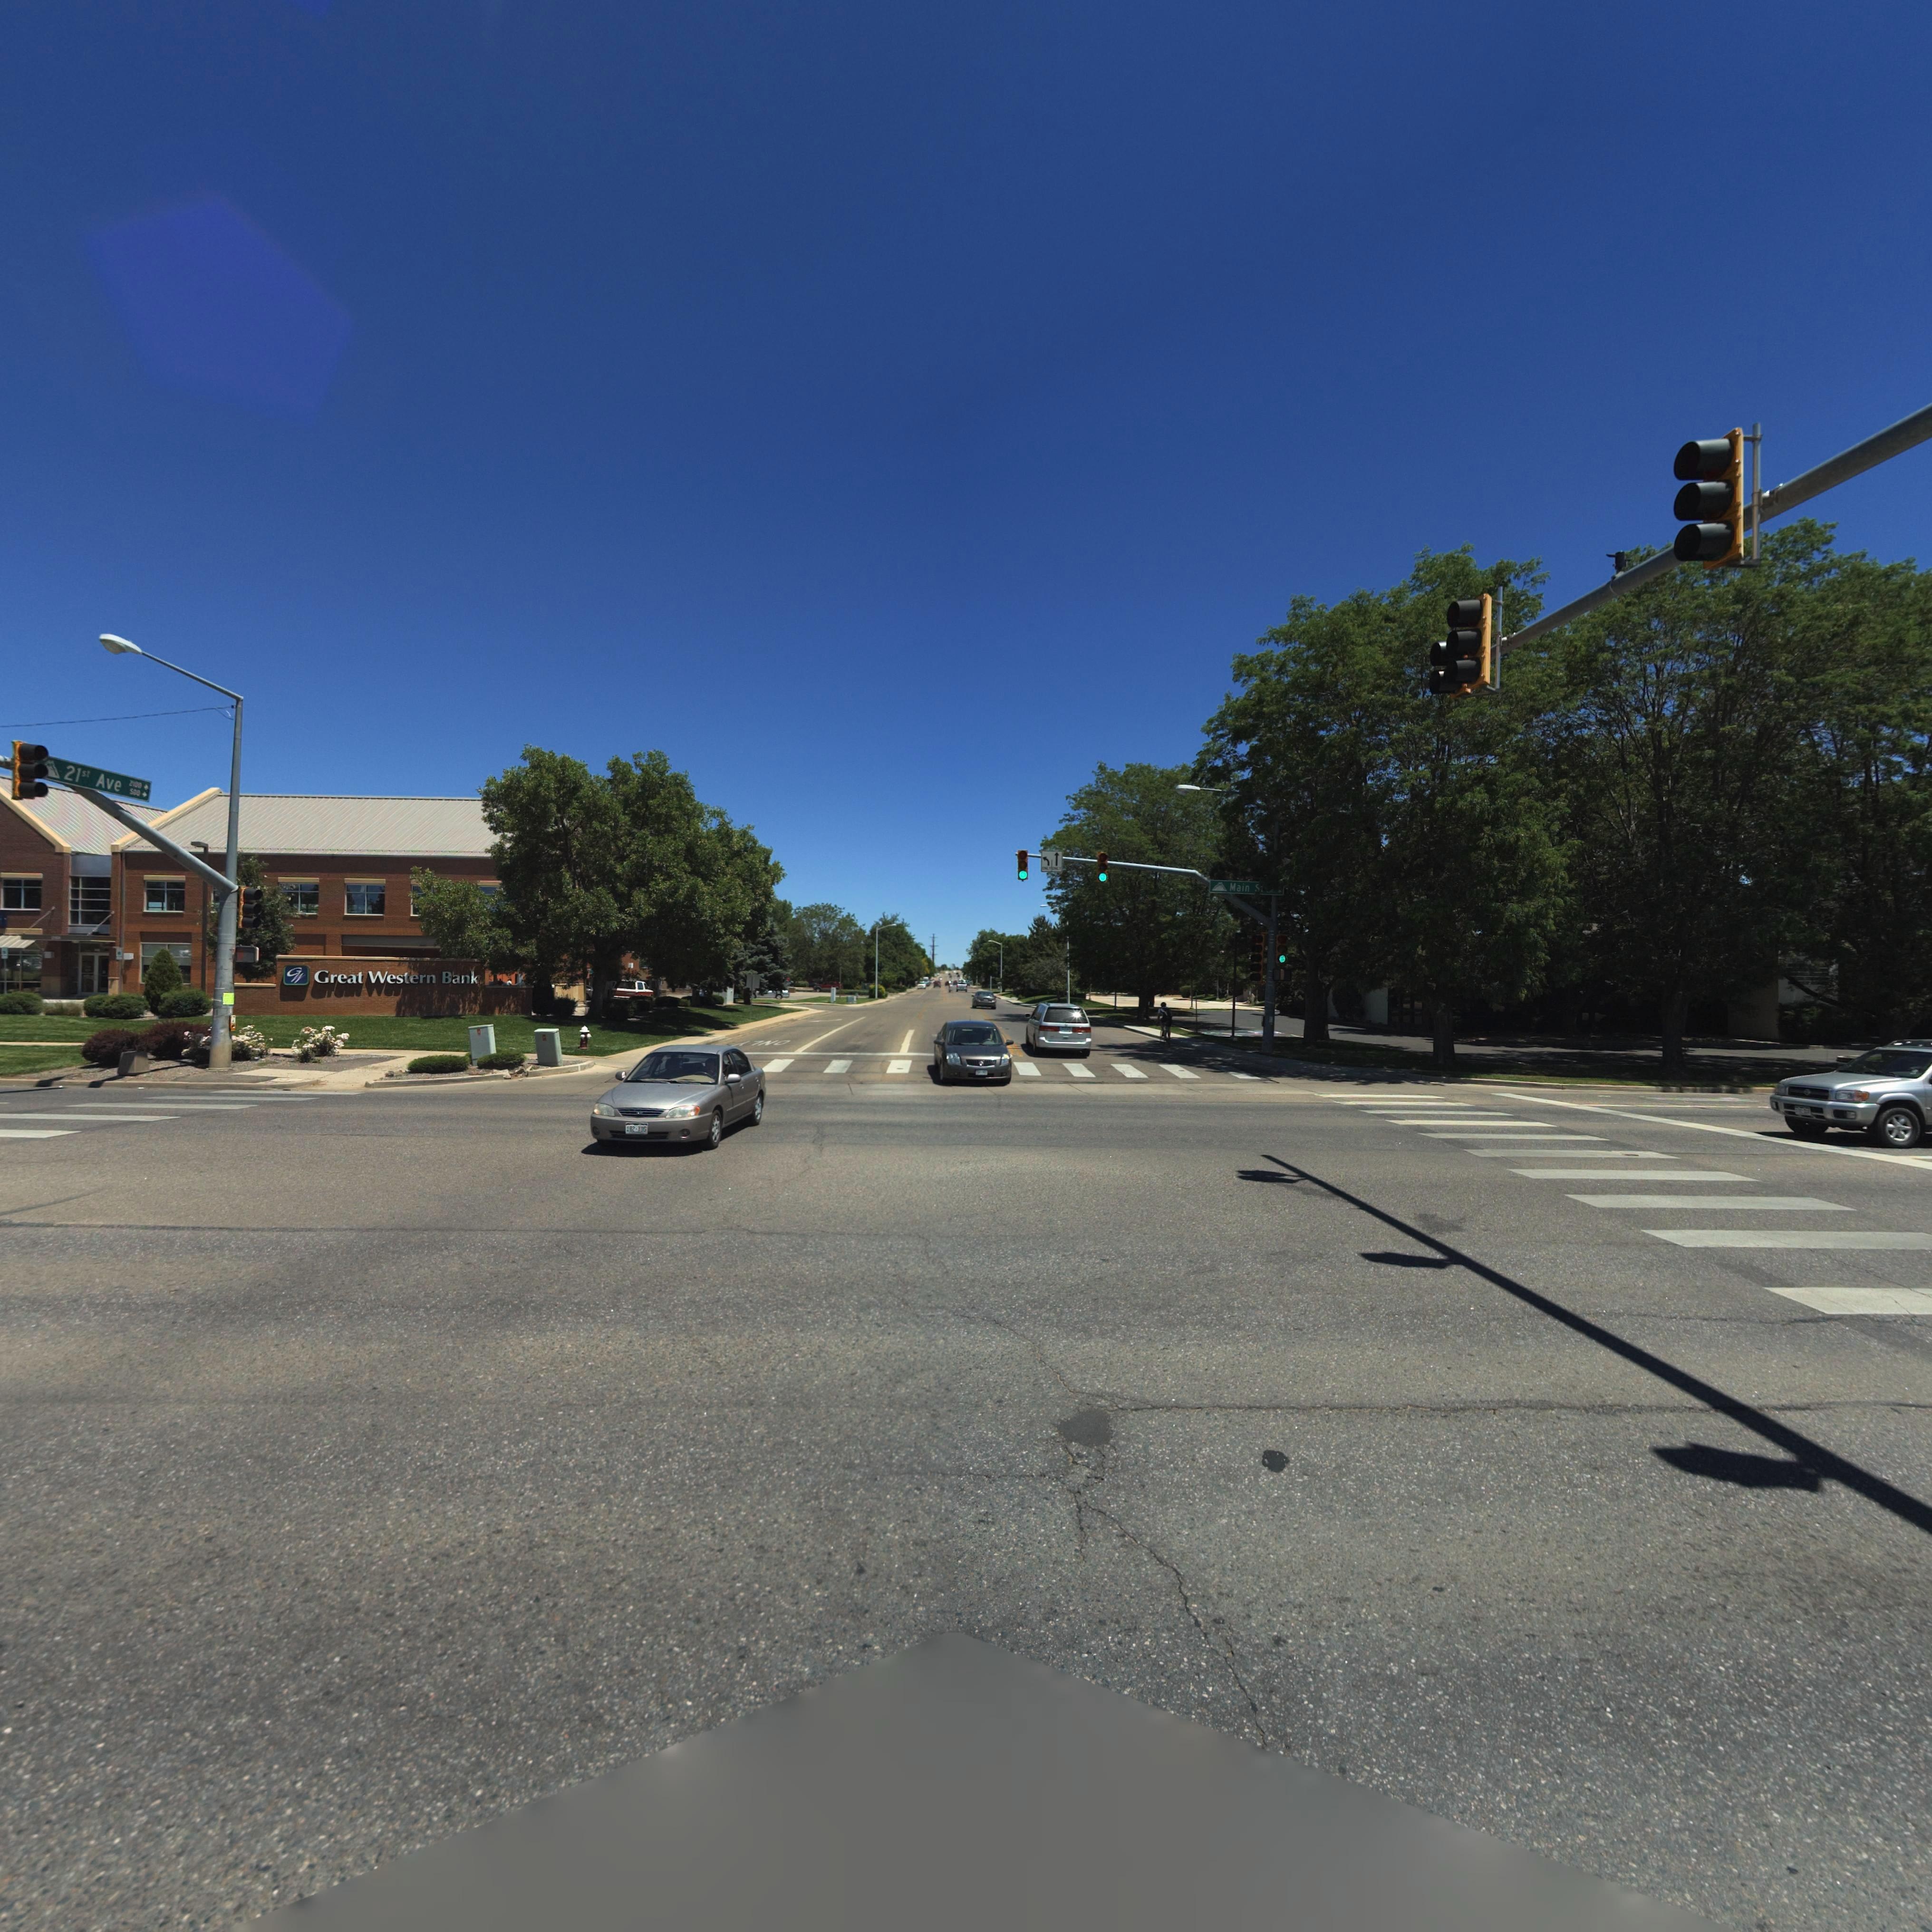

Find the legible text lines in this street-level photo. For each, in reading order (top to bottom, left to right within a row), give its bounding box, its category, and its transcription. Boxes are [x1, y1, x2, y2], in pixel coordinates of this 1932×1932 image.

[62, 764, 122, 792] StreetName: 21st Ave
[128, 779, 143, 789] StreetNumberRange: 2*00
[129, 787, 147, 797] StreetNumberRange: 500->
[1229, 881, 1264, 893] StreetName: Main S*
[313, 969, 479, 985] BusinessName: Great Western Bank